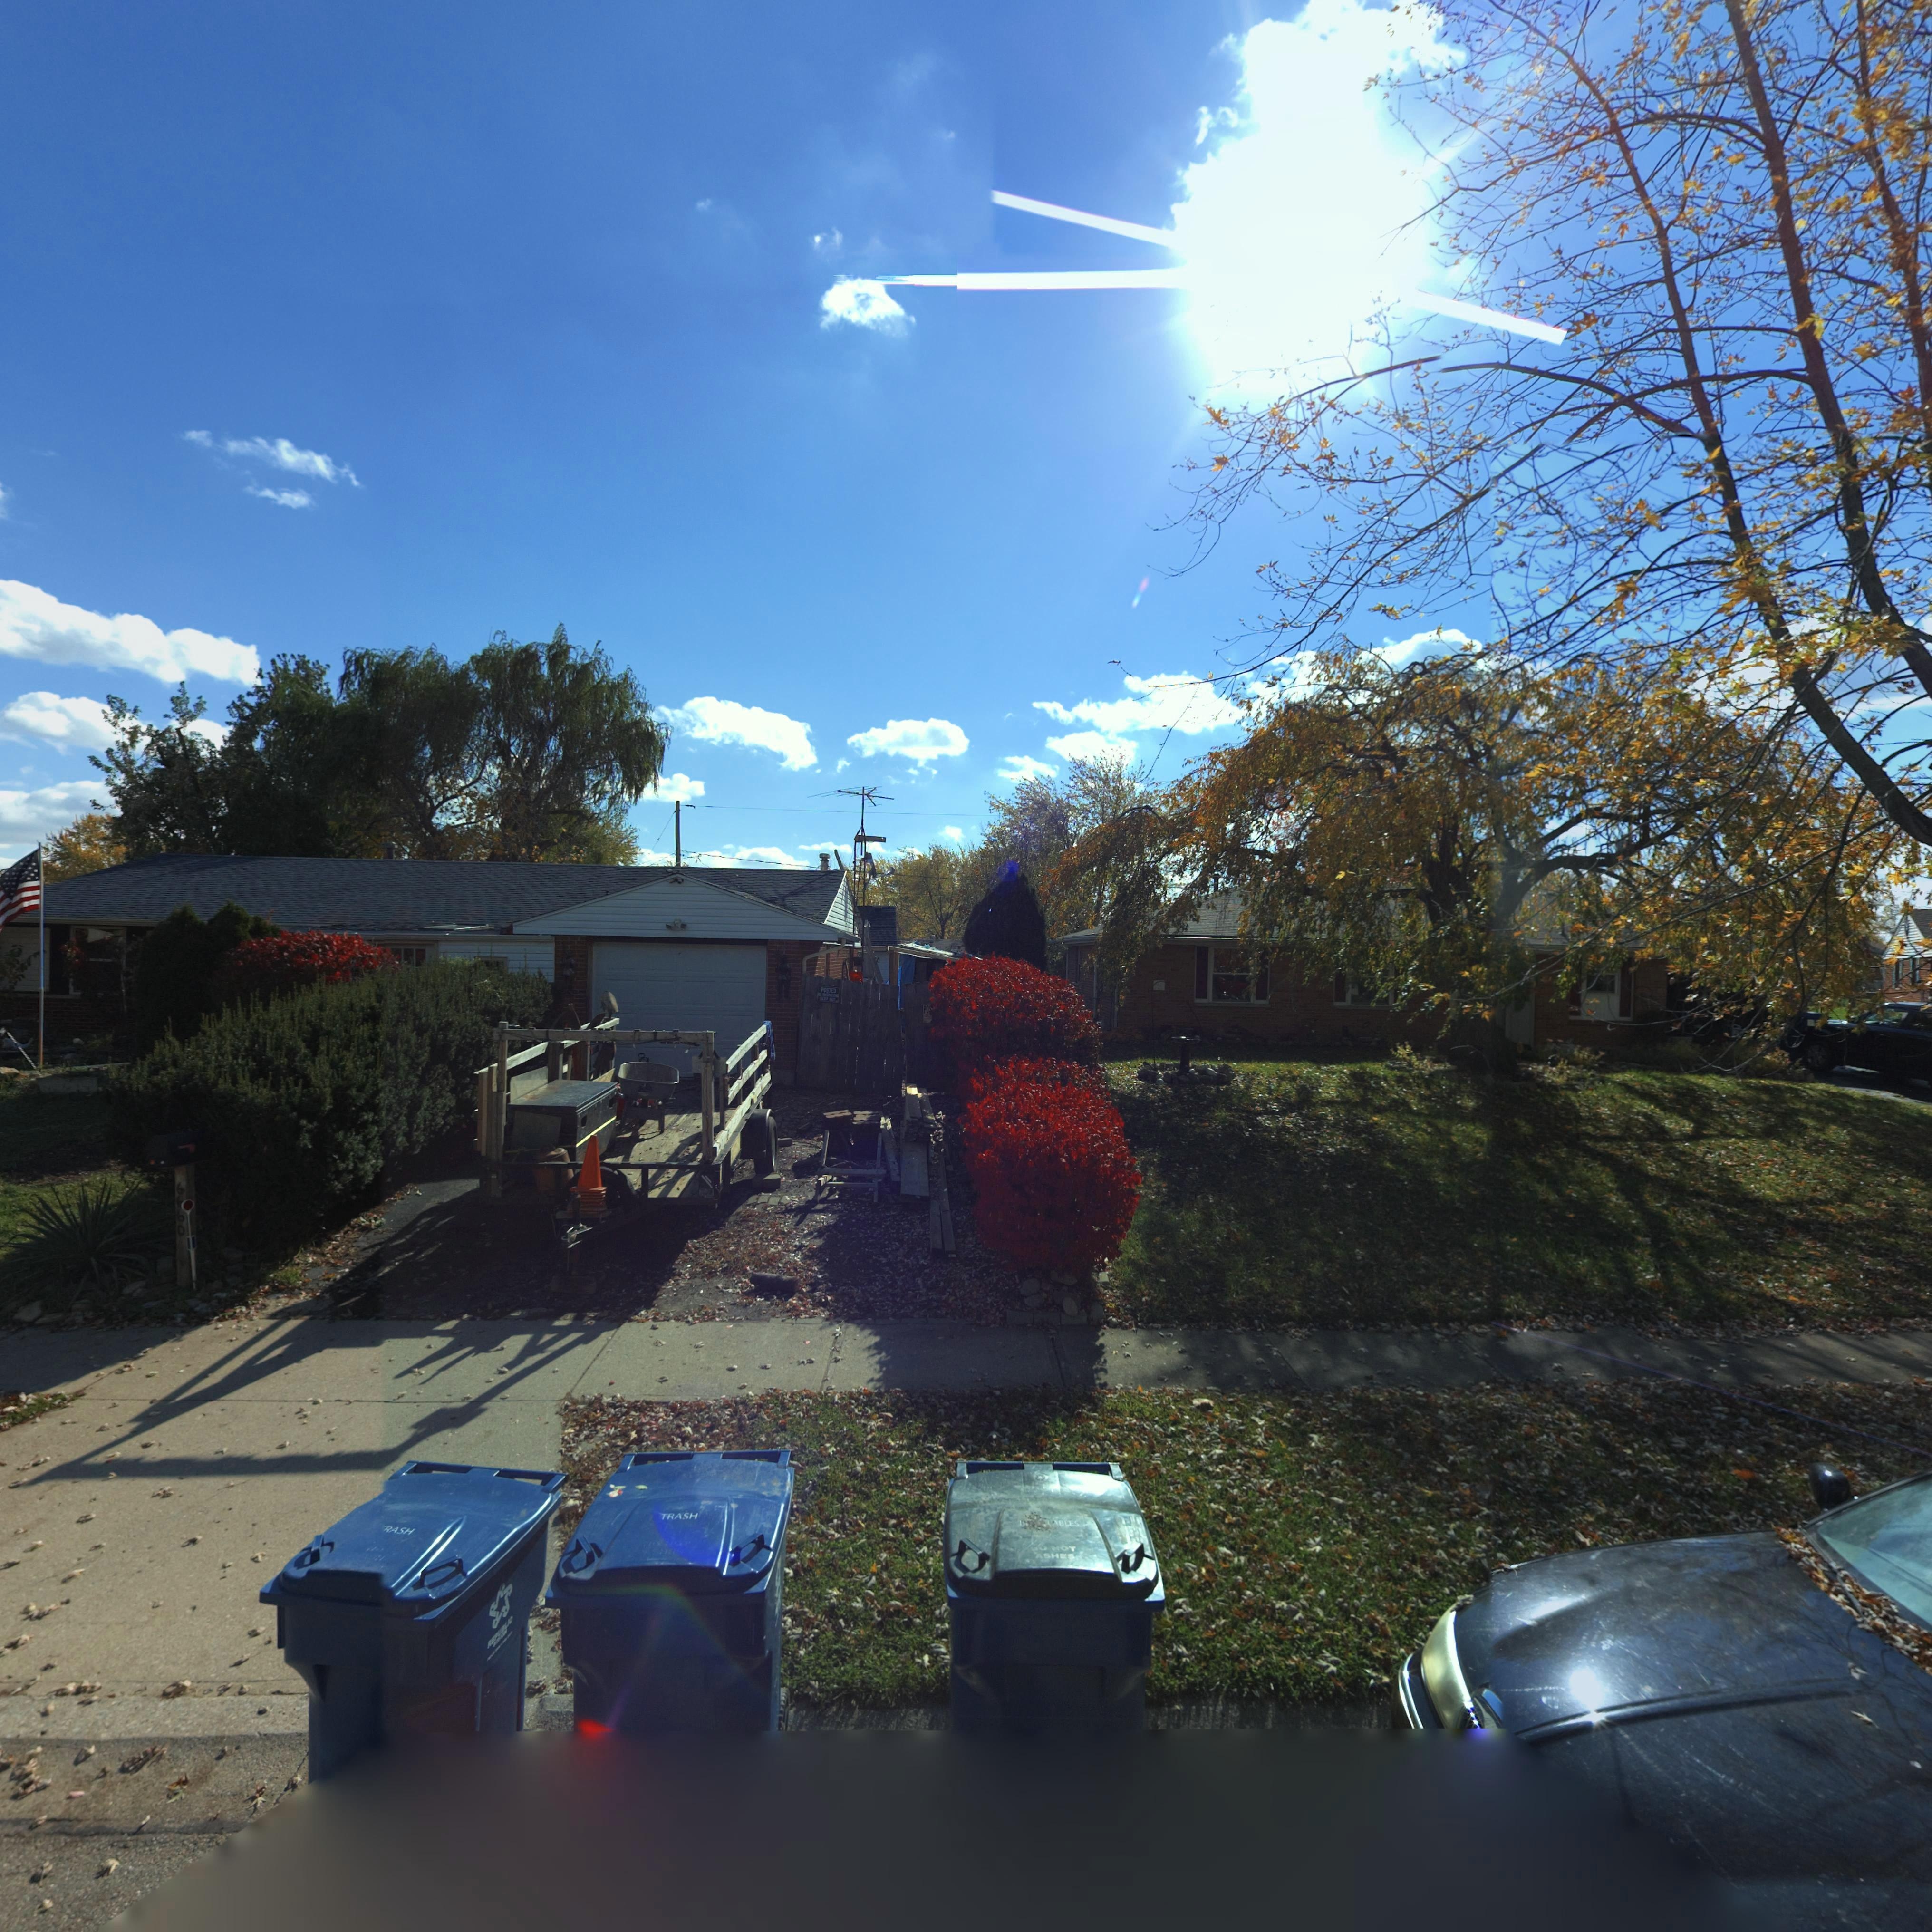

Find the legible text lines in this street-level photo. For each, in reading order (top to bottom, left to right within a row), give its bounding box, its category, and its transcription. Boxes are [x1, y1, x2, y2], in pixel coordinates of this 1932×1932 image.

[175, 1181, 186, 1237] StreetNumber: 6*60